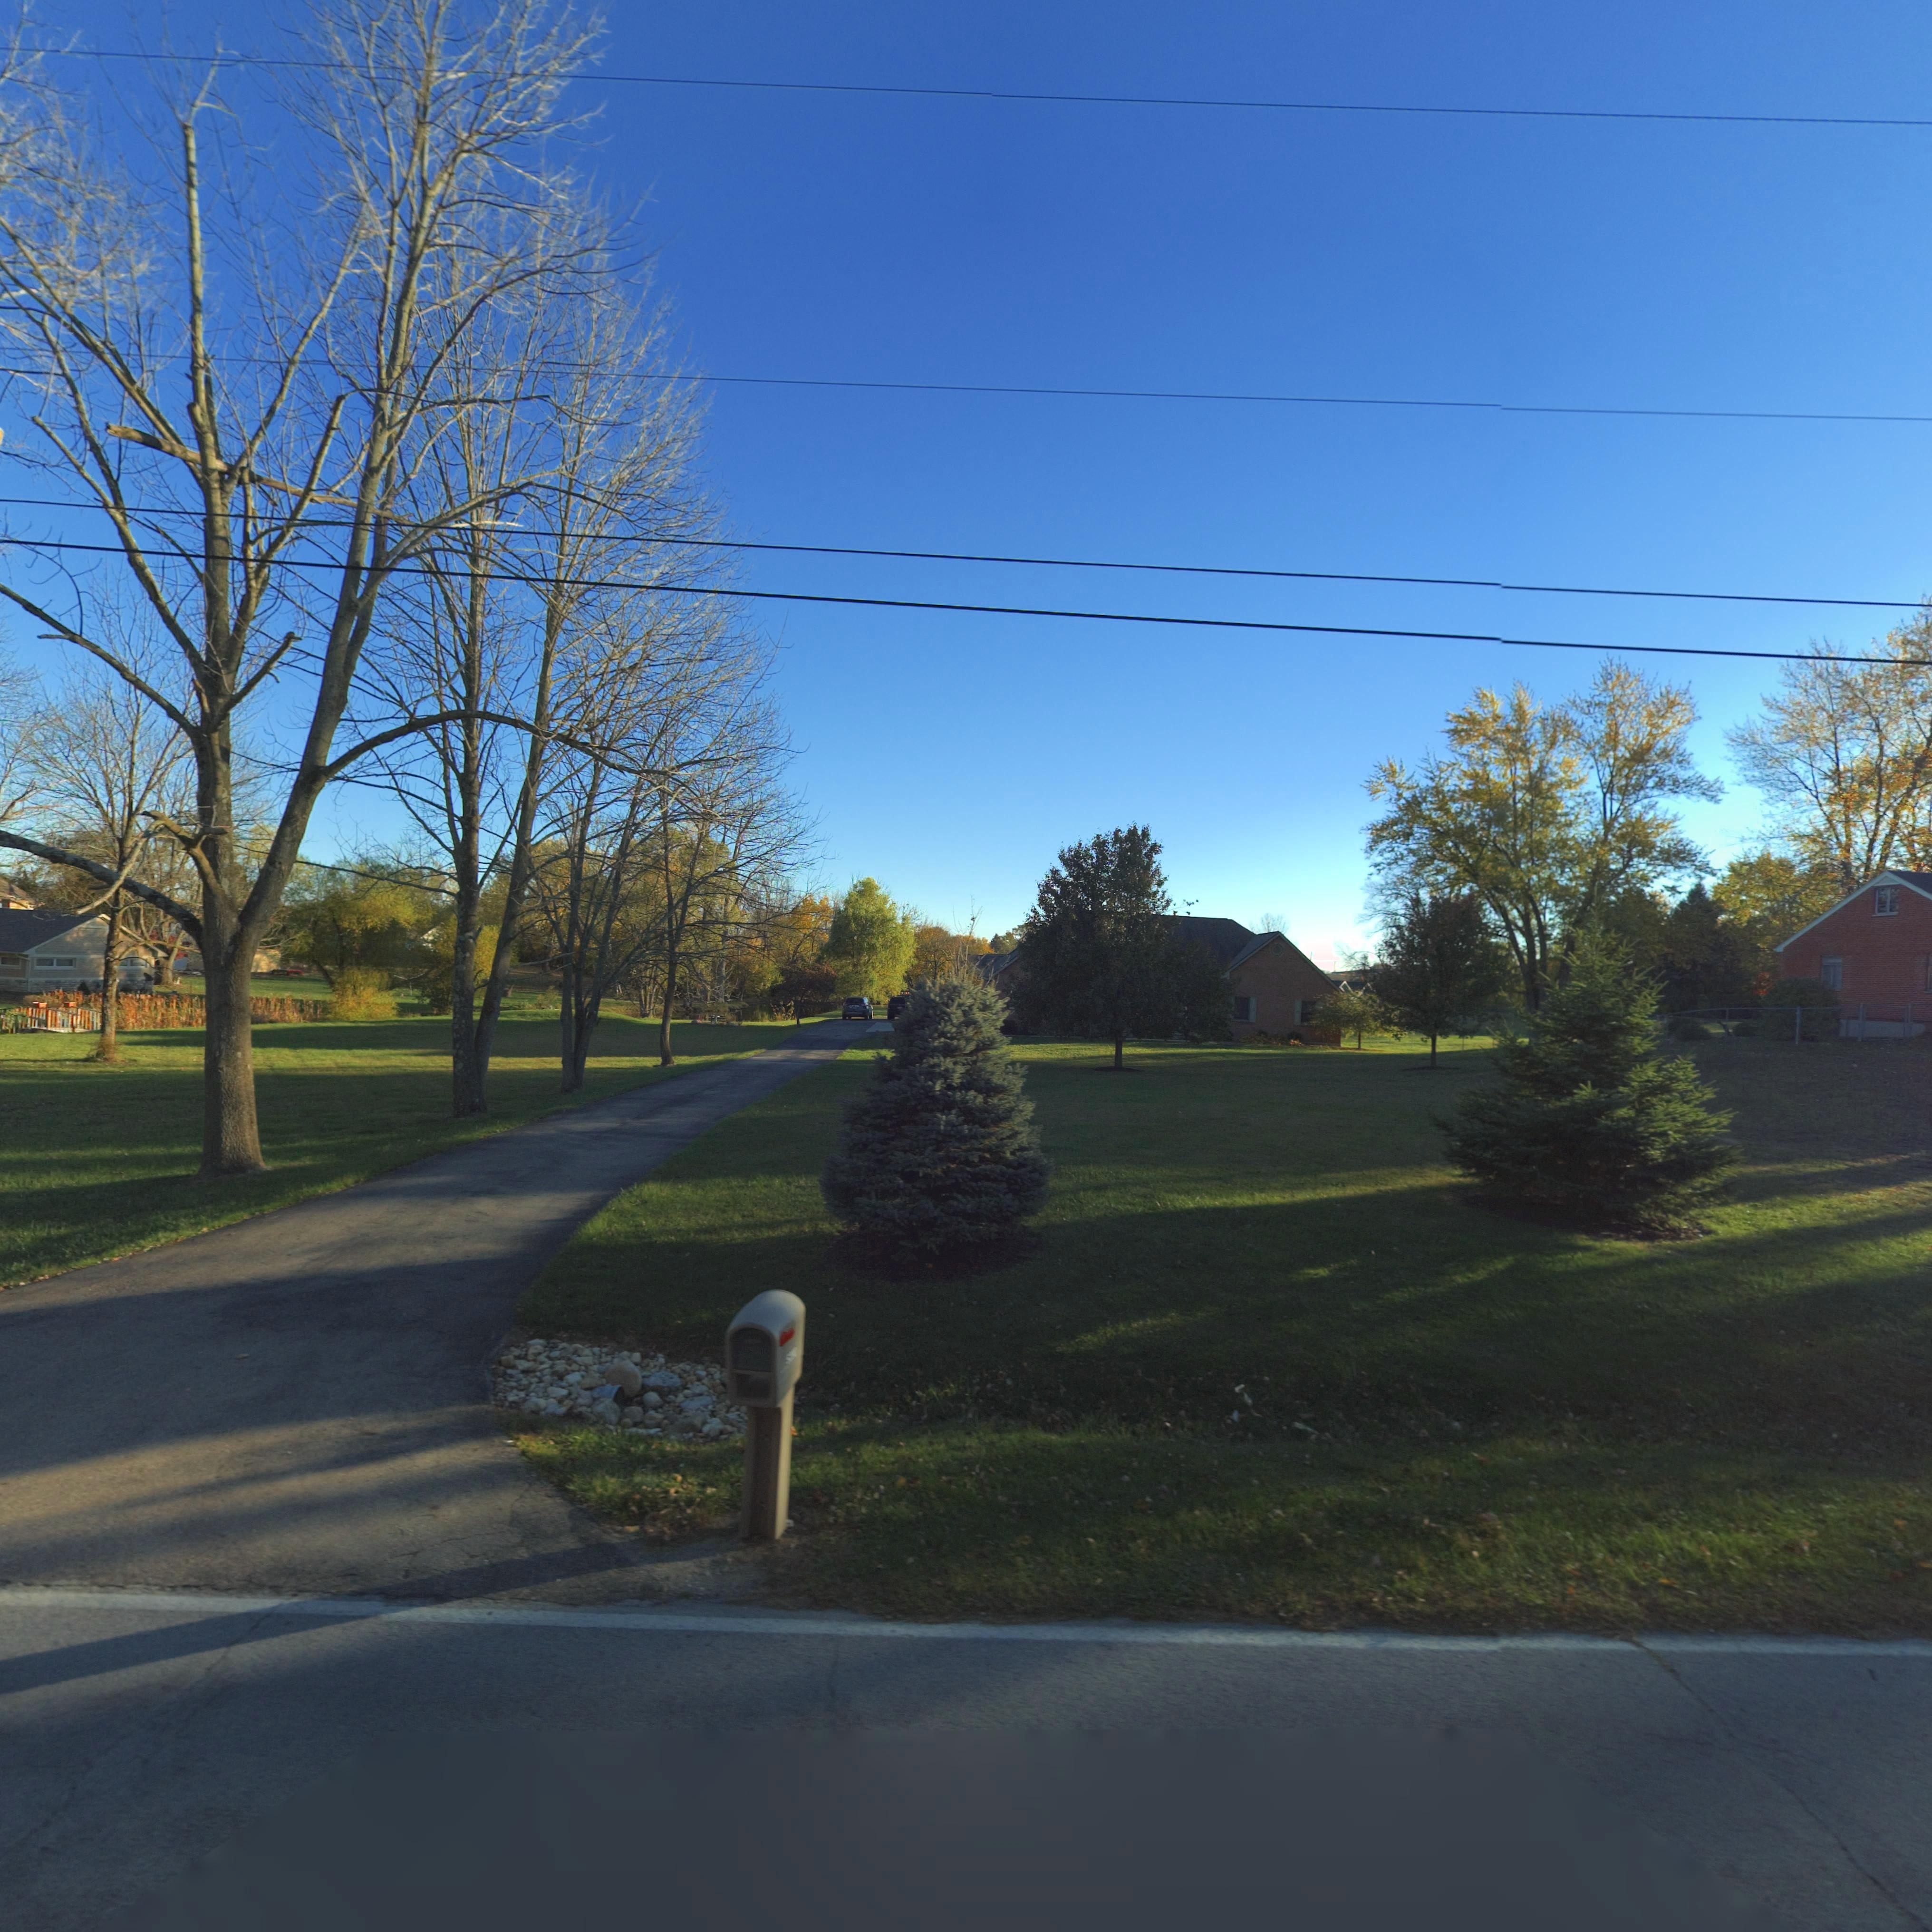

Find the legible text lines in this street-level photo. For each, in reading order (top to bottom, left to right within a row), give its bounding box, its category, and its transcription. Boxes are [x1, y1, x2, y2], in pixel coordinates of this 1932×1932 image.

[784, 1346, 799, 1365] StreetNumber: 5***